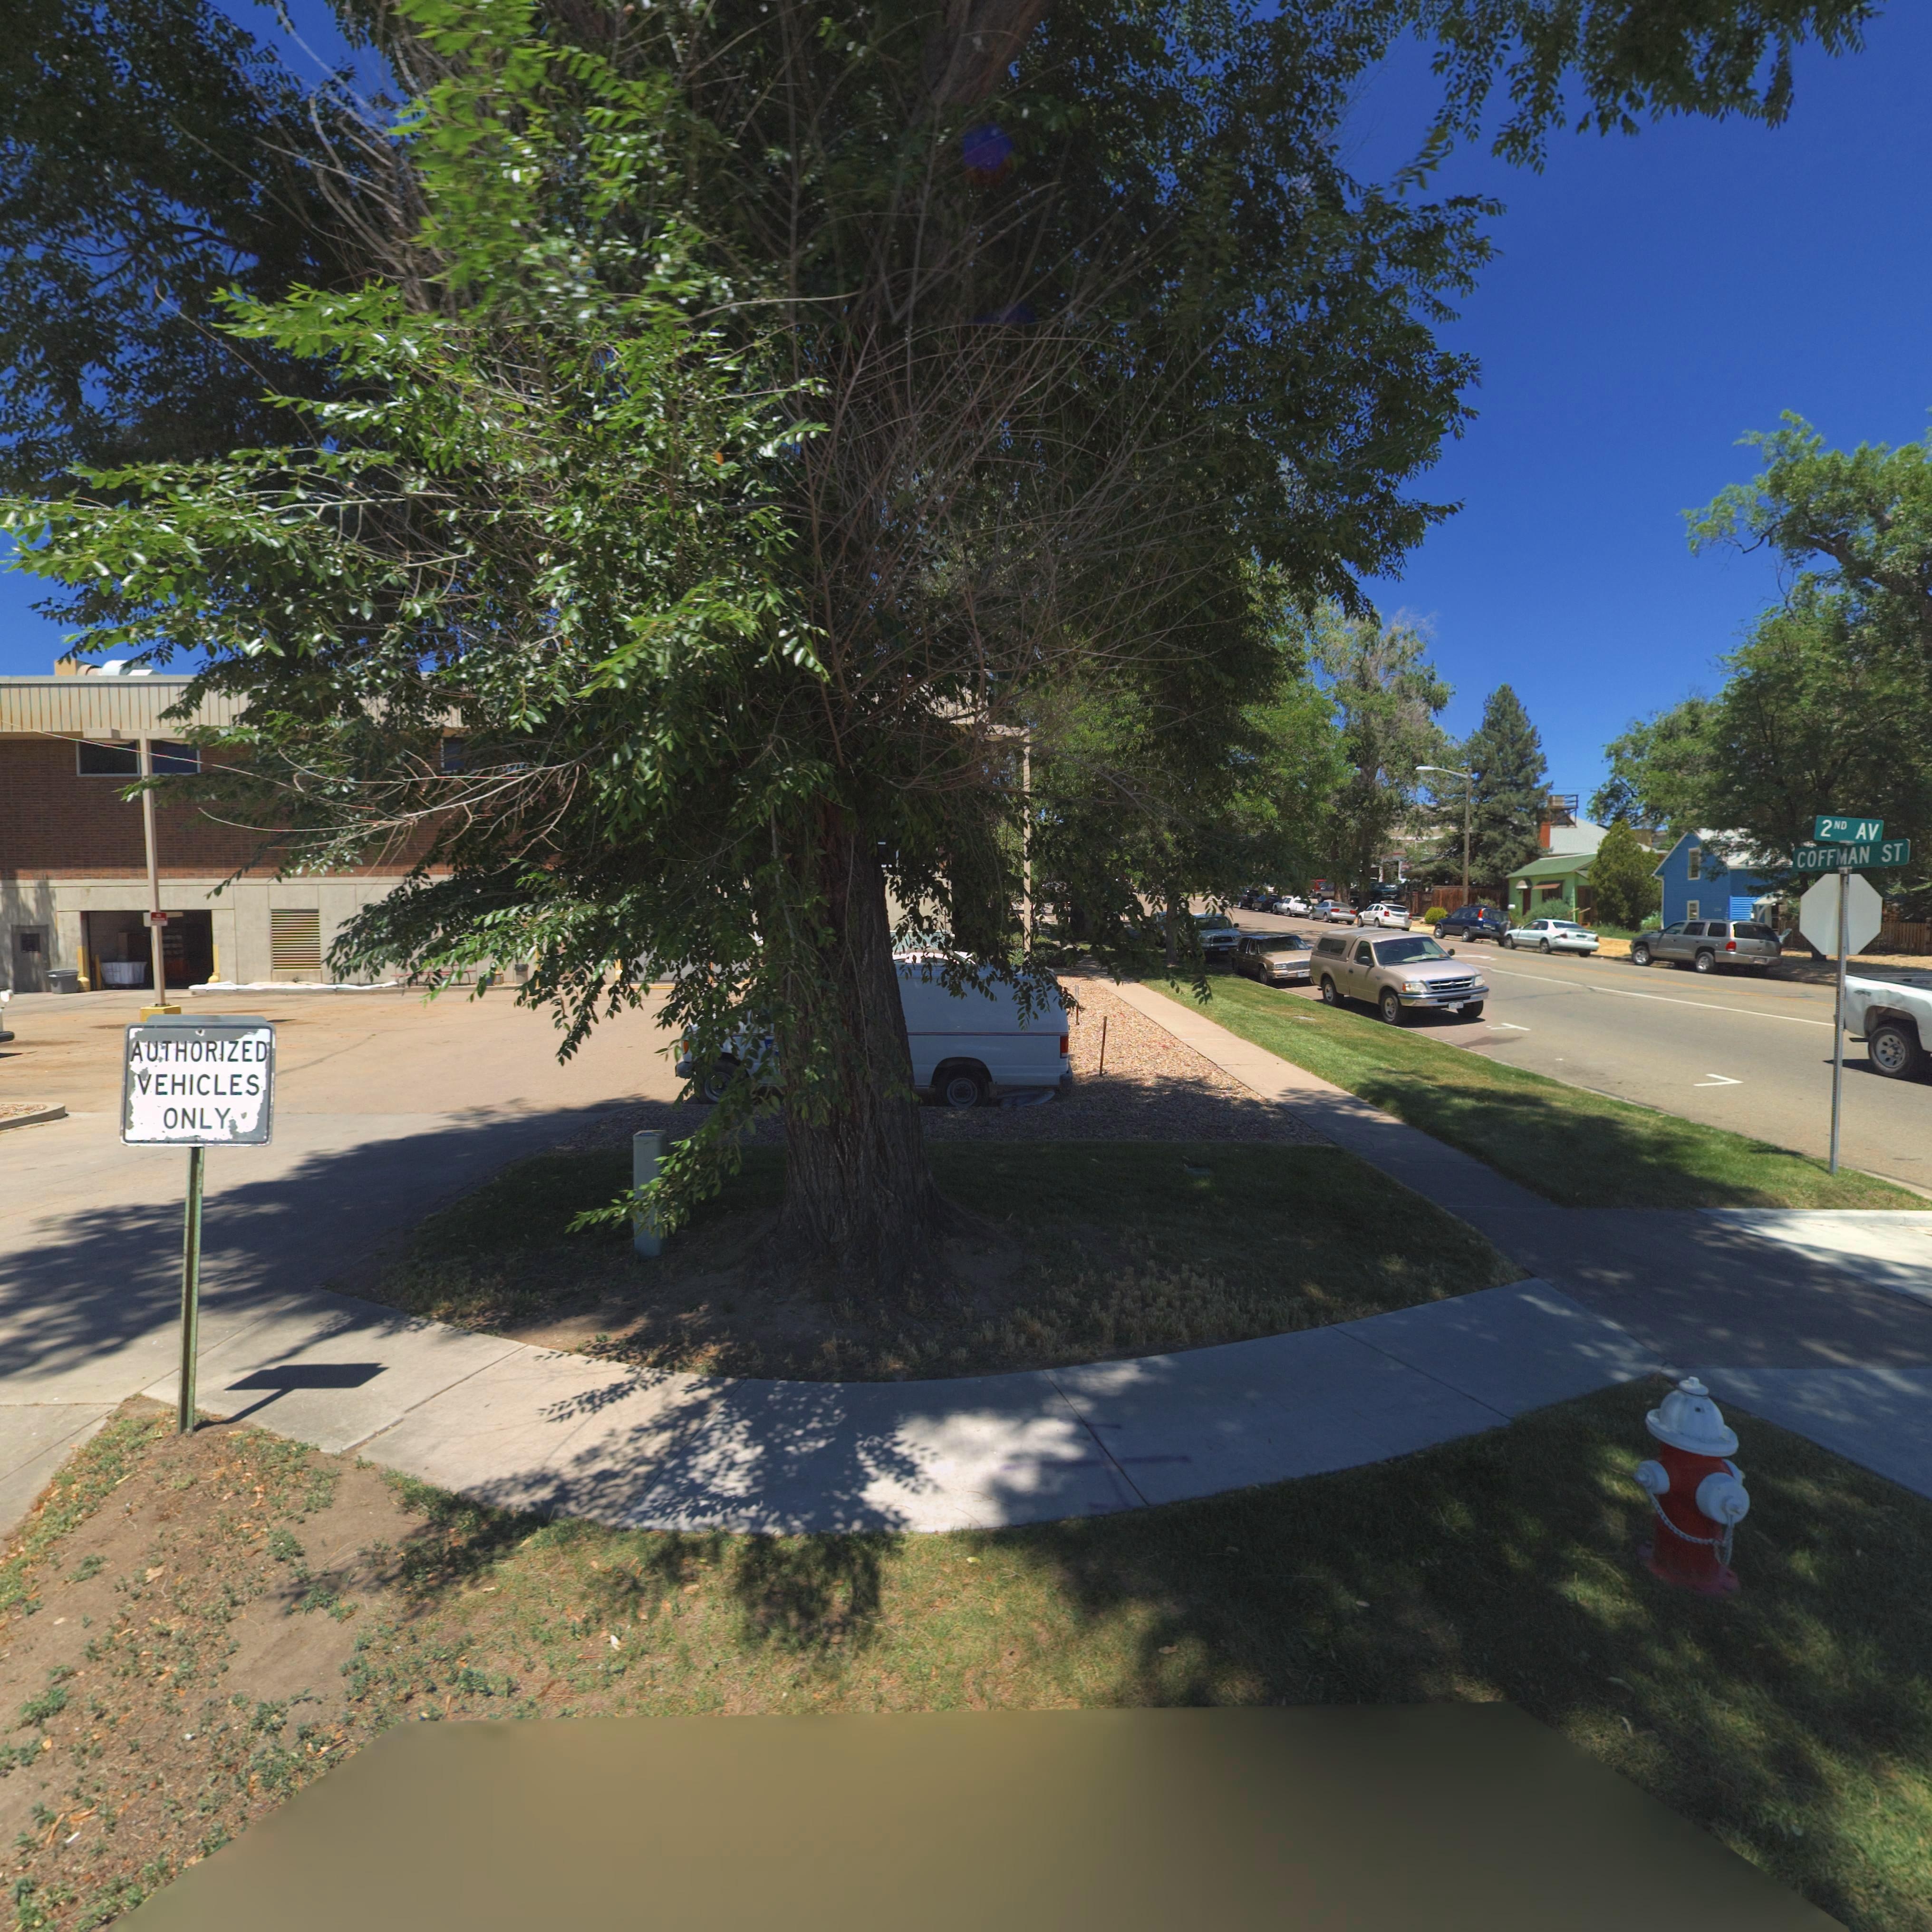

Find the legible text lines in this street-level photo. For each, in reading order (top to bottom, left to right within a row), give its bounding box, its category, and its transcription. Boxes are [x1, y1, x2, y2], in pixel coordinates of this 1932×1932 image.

[1820, 819, 1880, 841] StreetName: 2ND AV
[1796, 842, 1903, 869] StreetName: COFFMAN ST